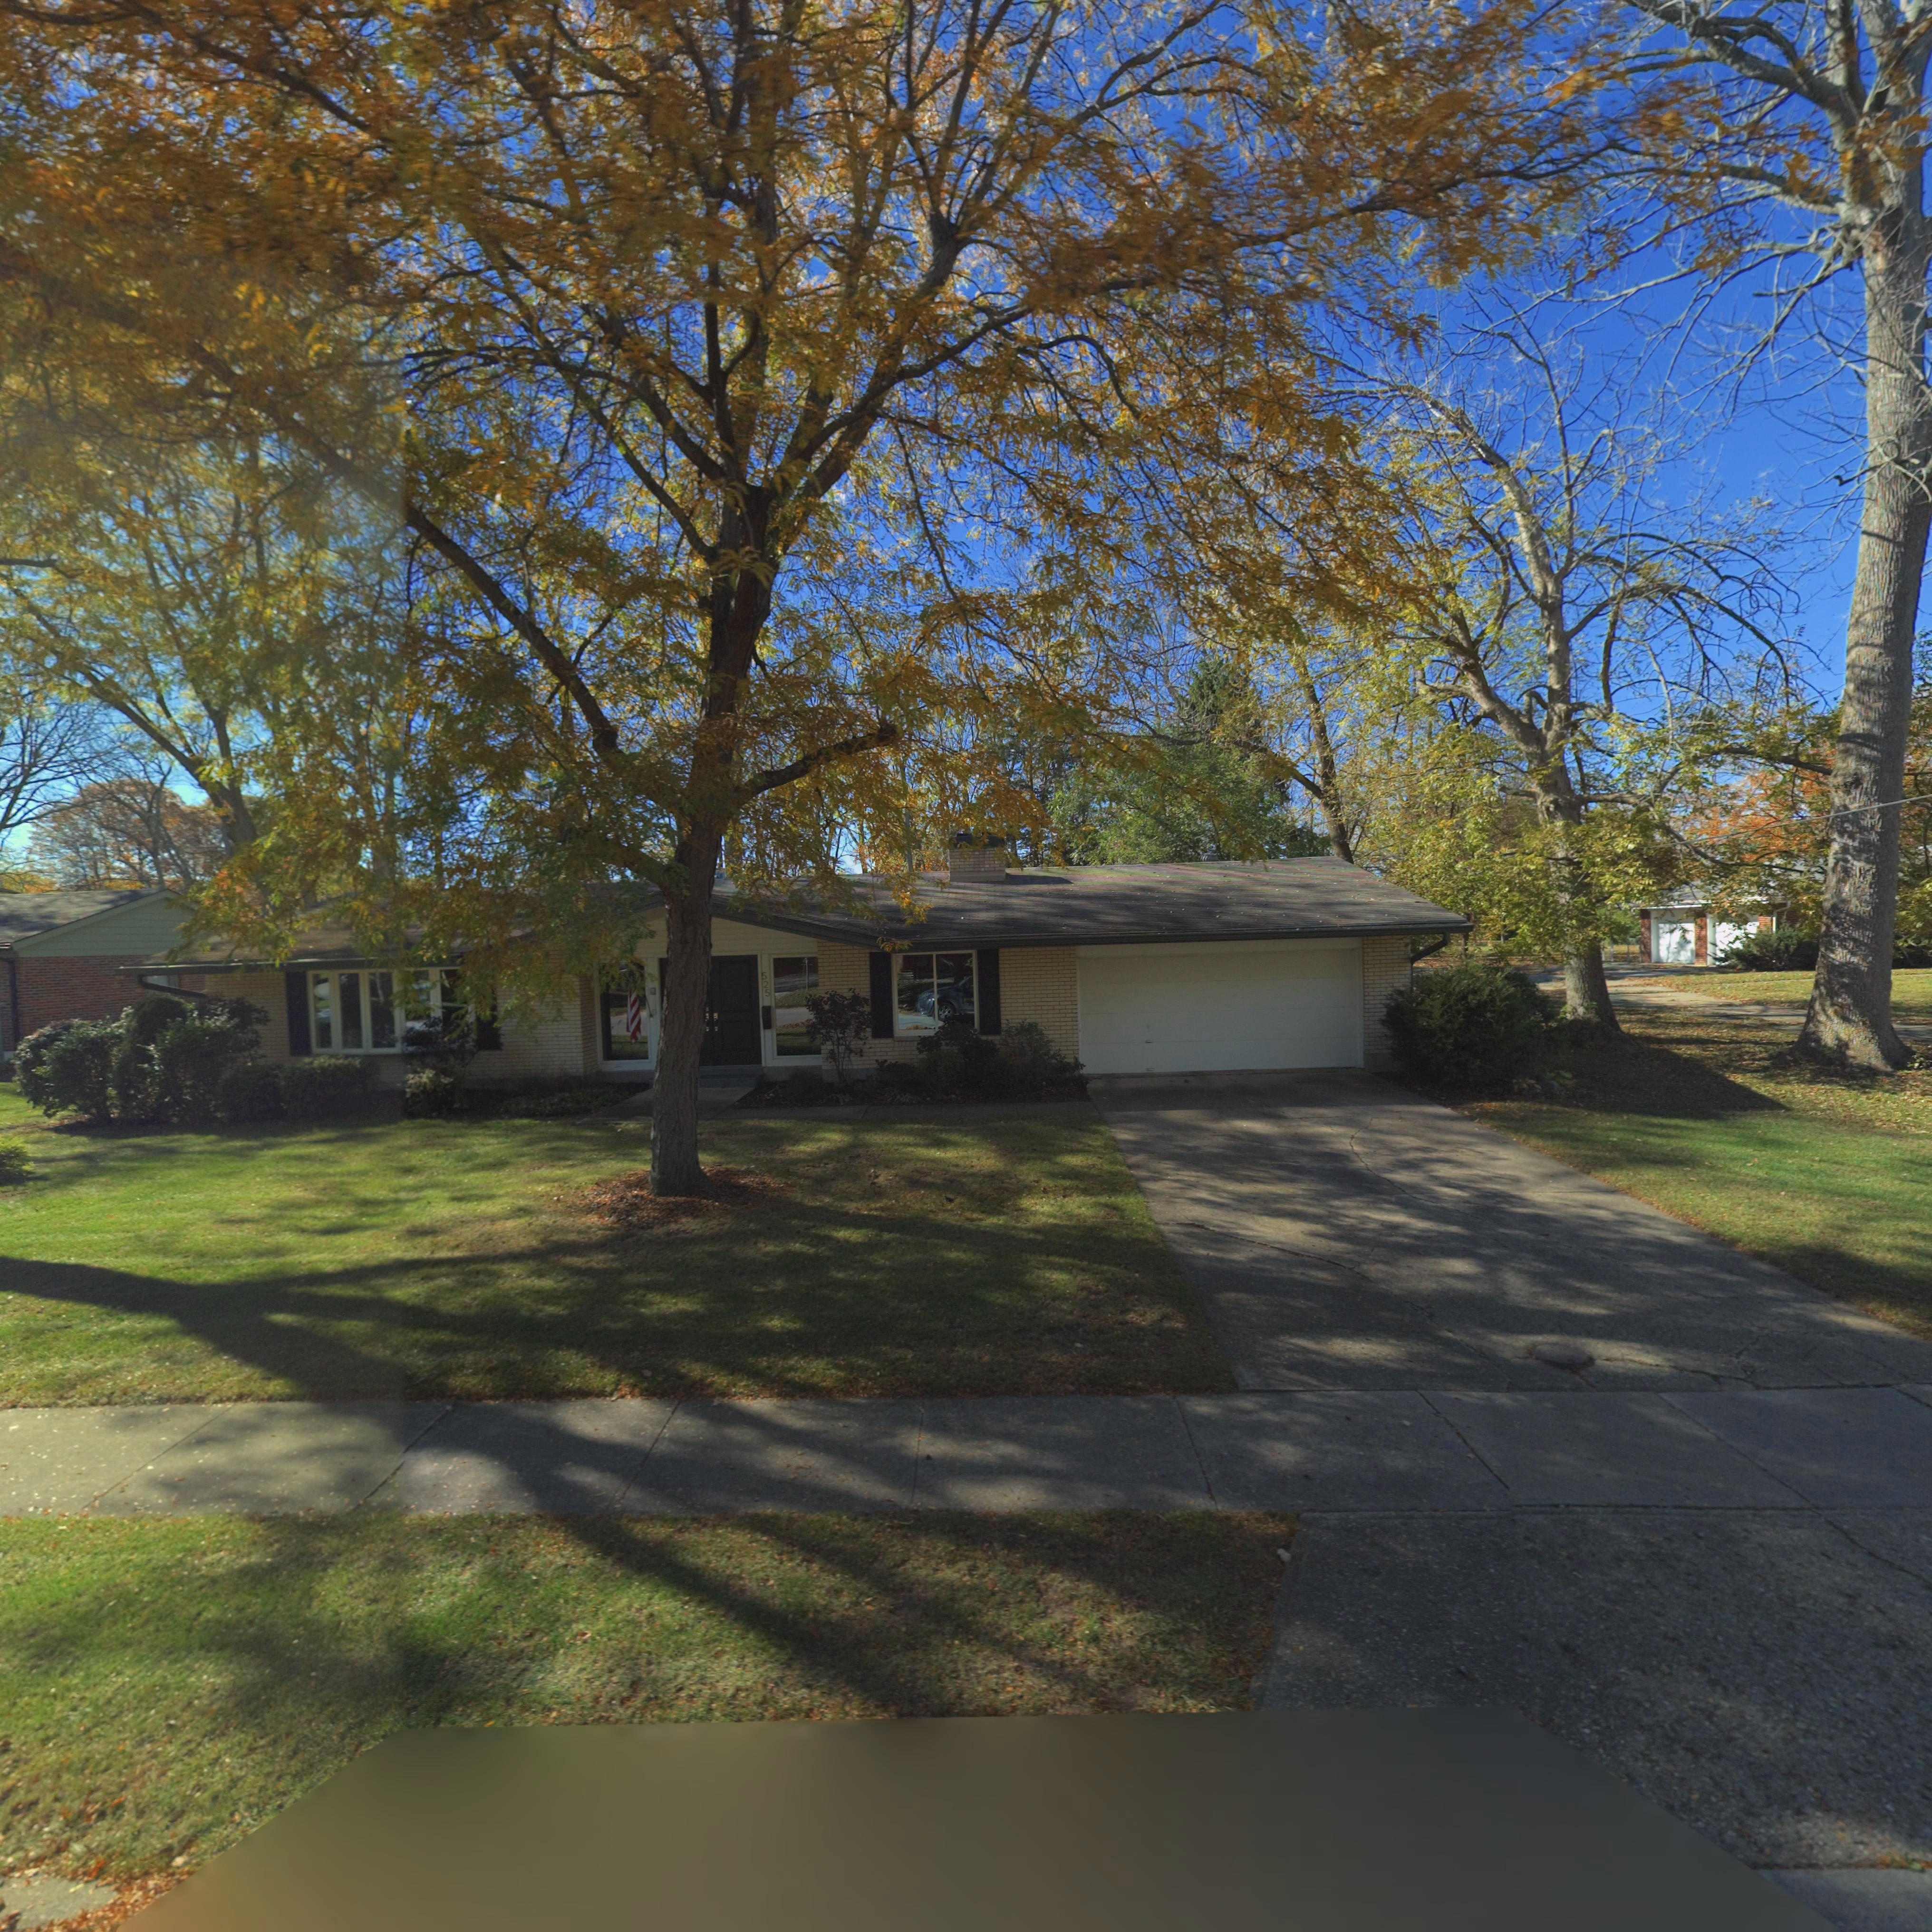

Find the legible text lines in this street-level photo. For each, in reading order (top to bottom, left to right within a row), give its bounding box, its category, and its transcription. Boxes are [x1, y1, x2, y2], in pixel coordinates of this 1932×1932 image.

[761, 971, 771, 997] StreetNumber: 525